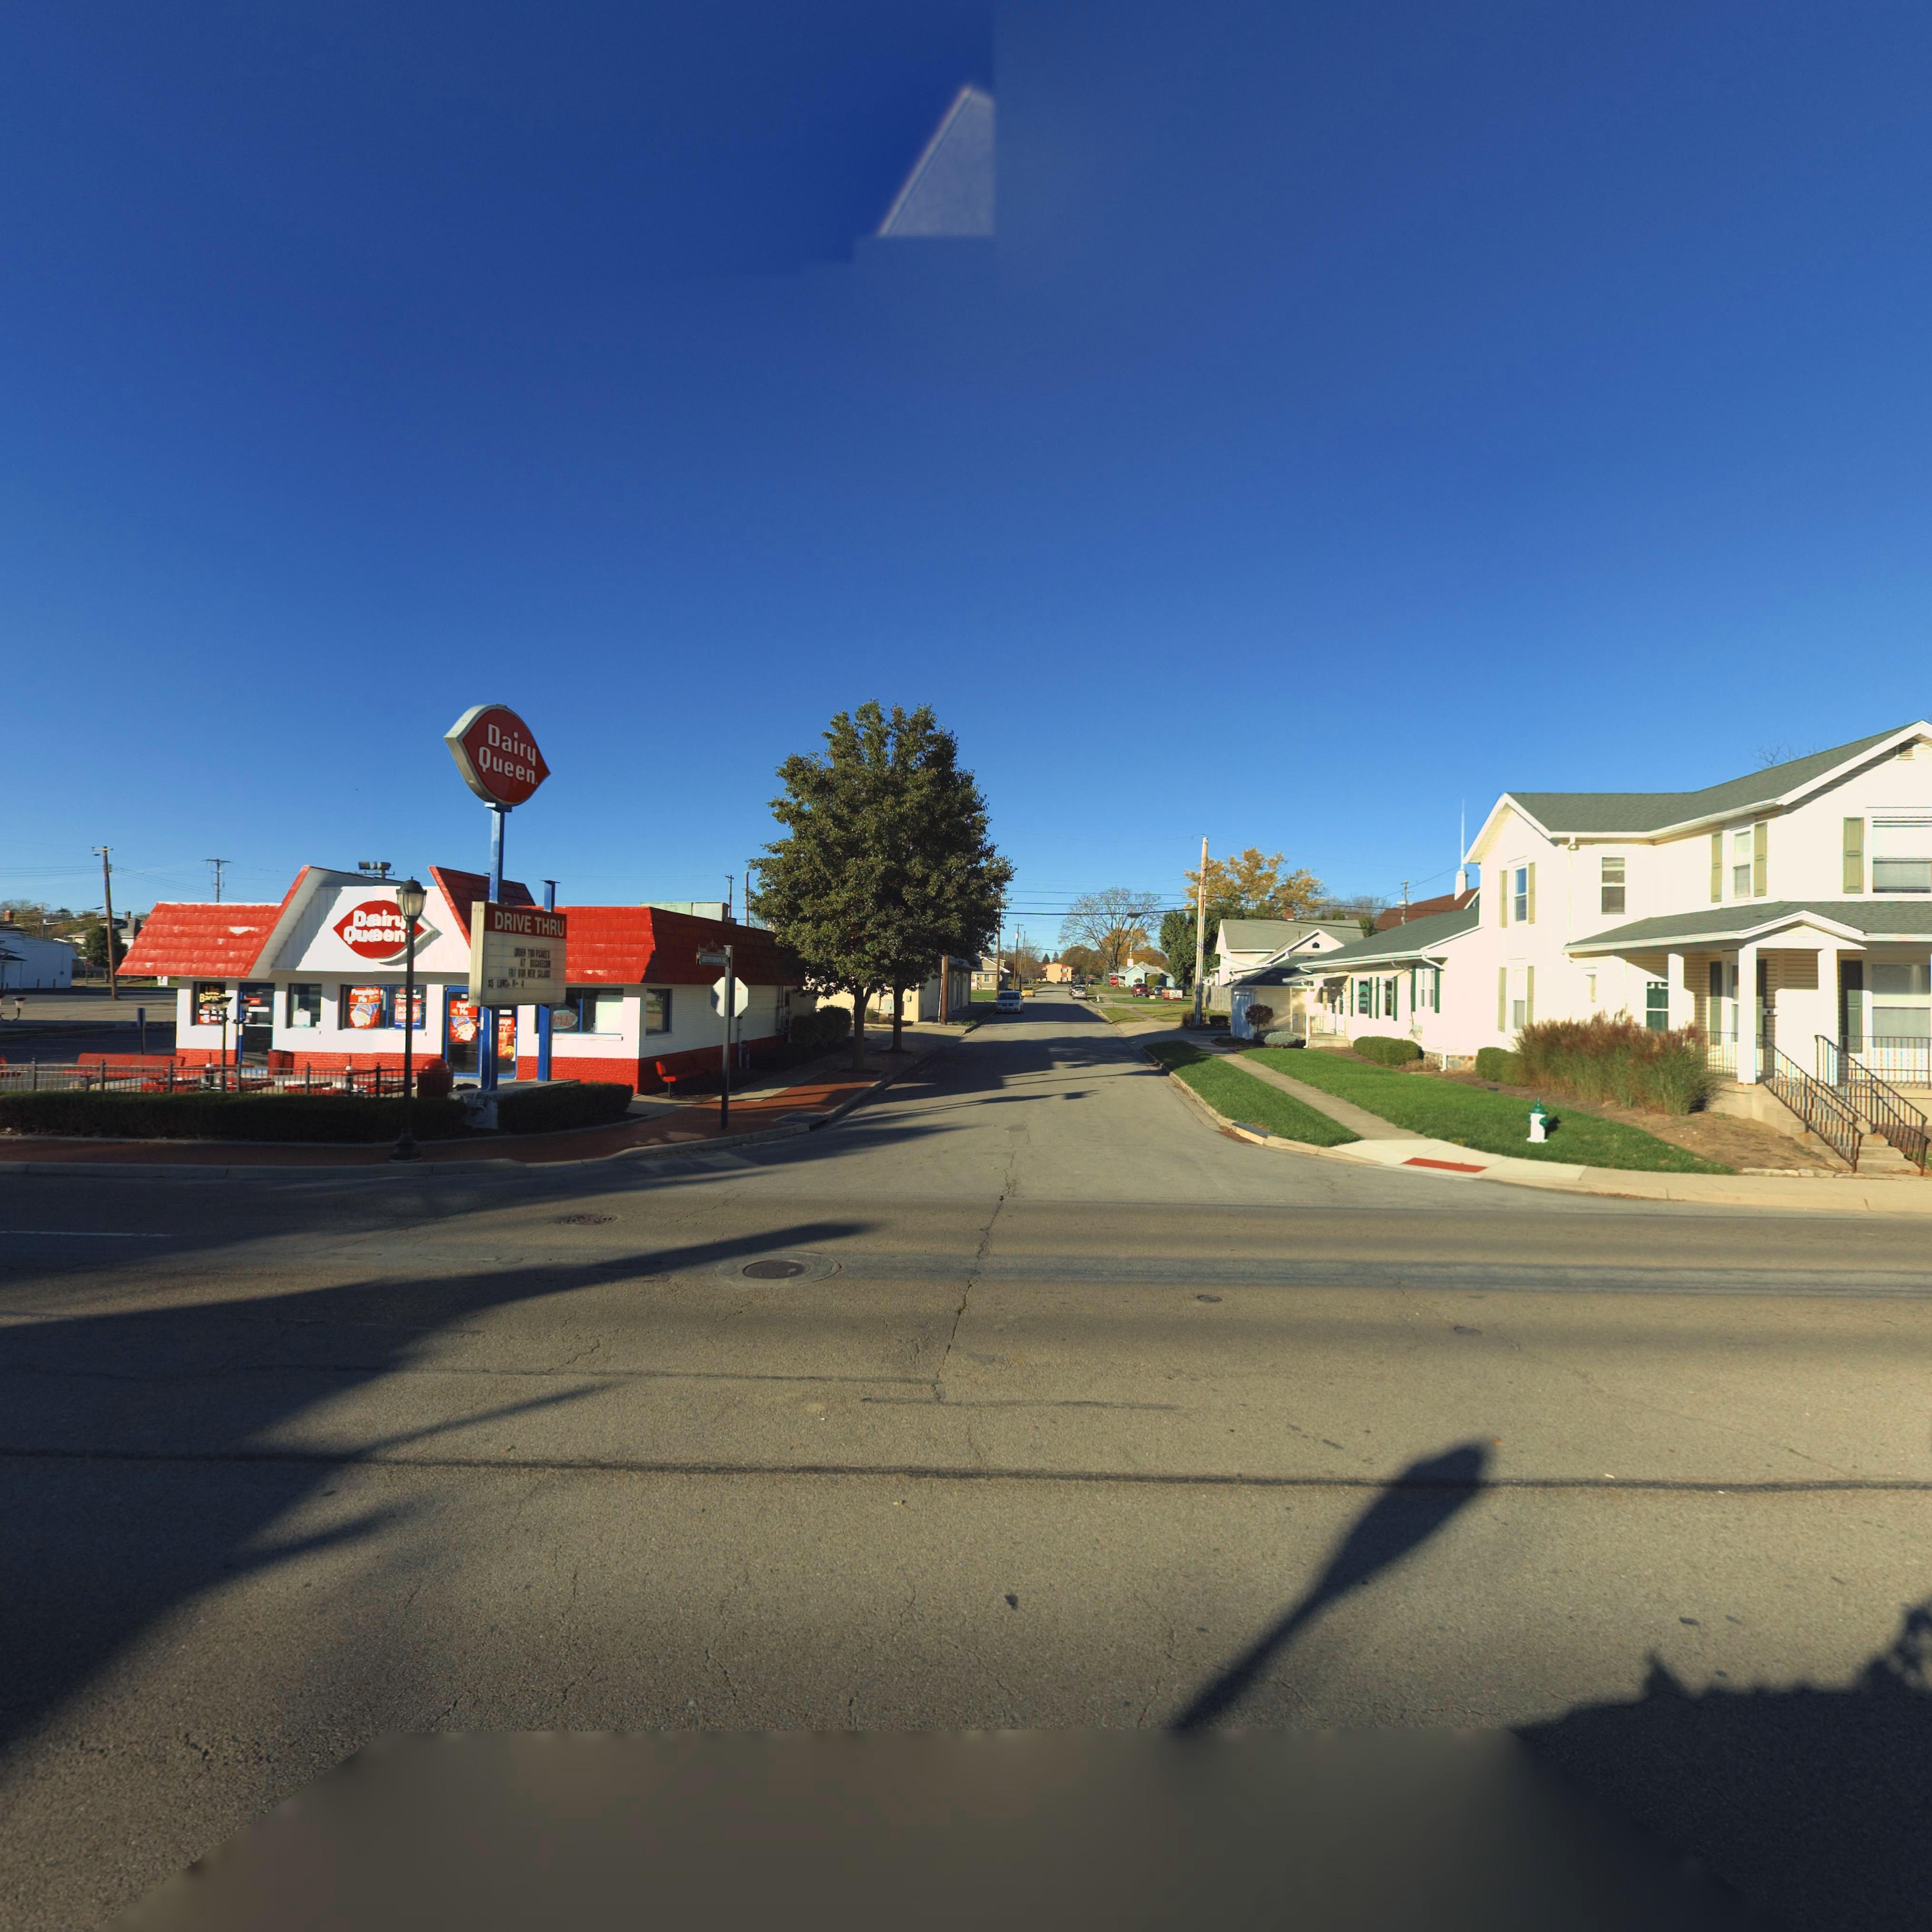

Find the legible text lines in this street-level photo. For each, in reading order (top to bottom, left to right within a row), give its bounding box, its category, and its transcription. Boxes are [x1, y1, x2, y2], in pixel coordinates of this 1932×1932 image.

[486, 721, 539, 771] BusinessName: Dairy
[479, 743, 538, 787] BusinessName: Queen
[350, 907, 410, 931] BusinessName: Dairy
[340, 924, 405, 945] BusinessName: Queen
[1694, 994, 1699, 1001] StreetNumber: 1